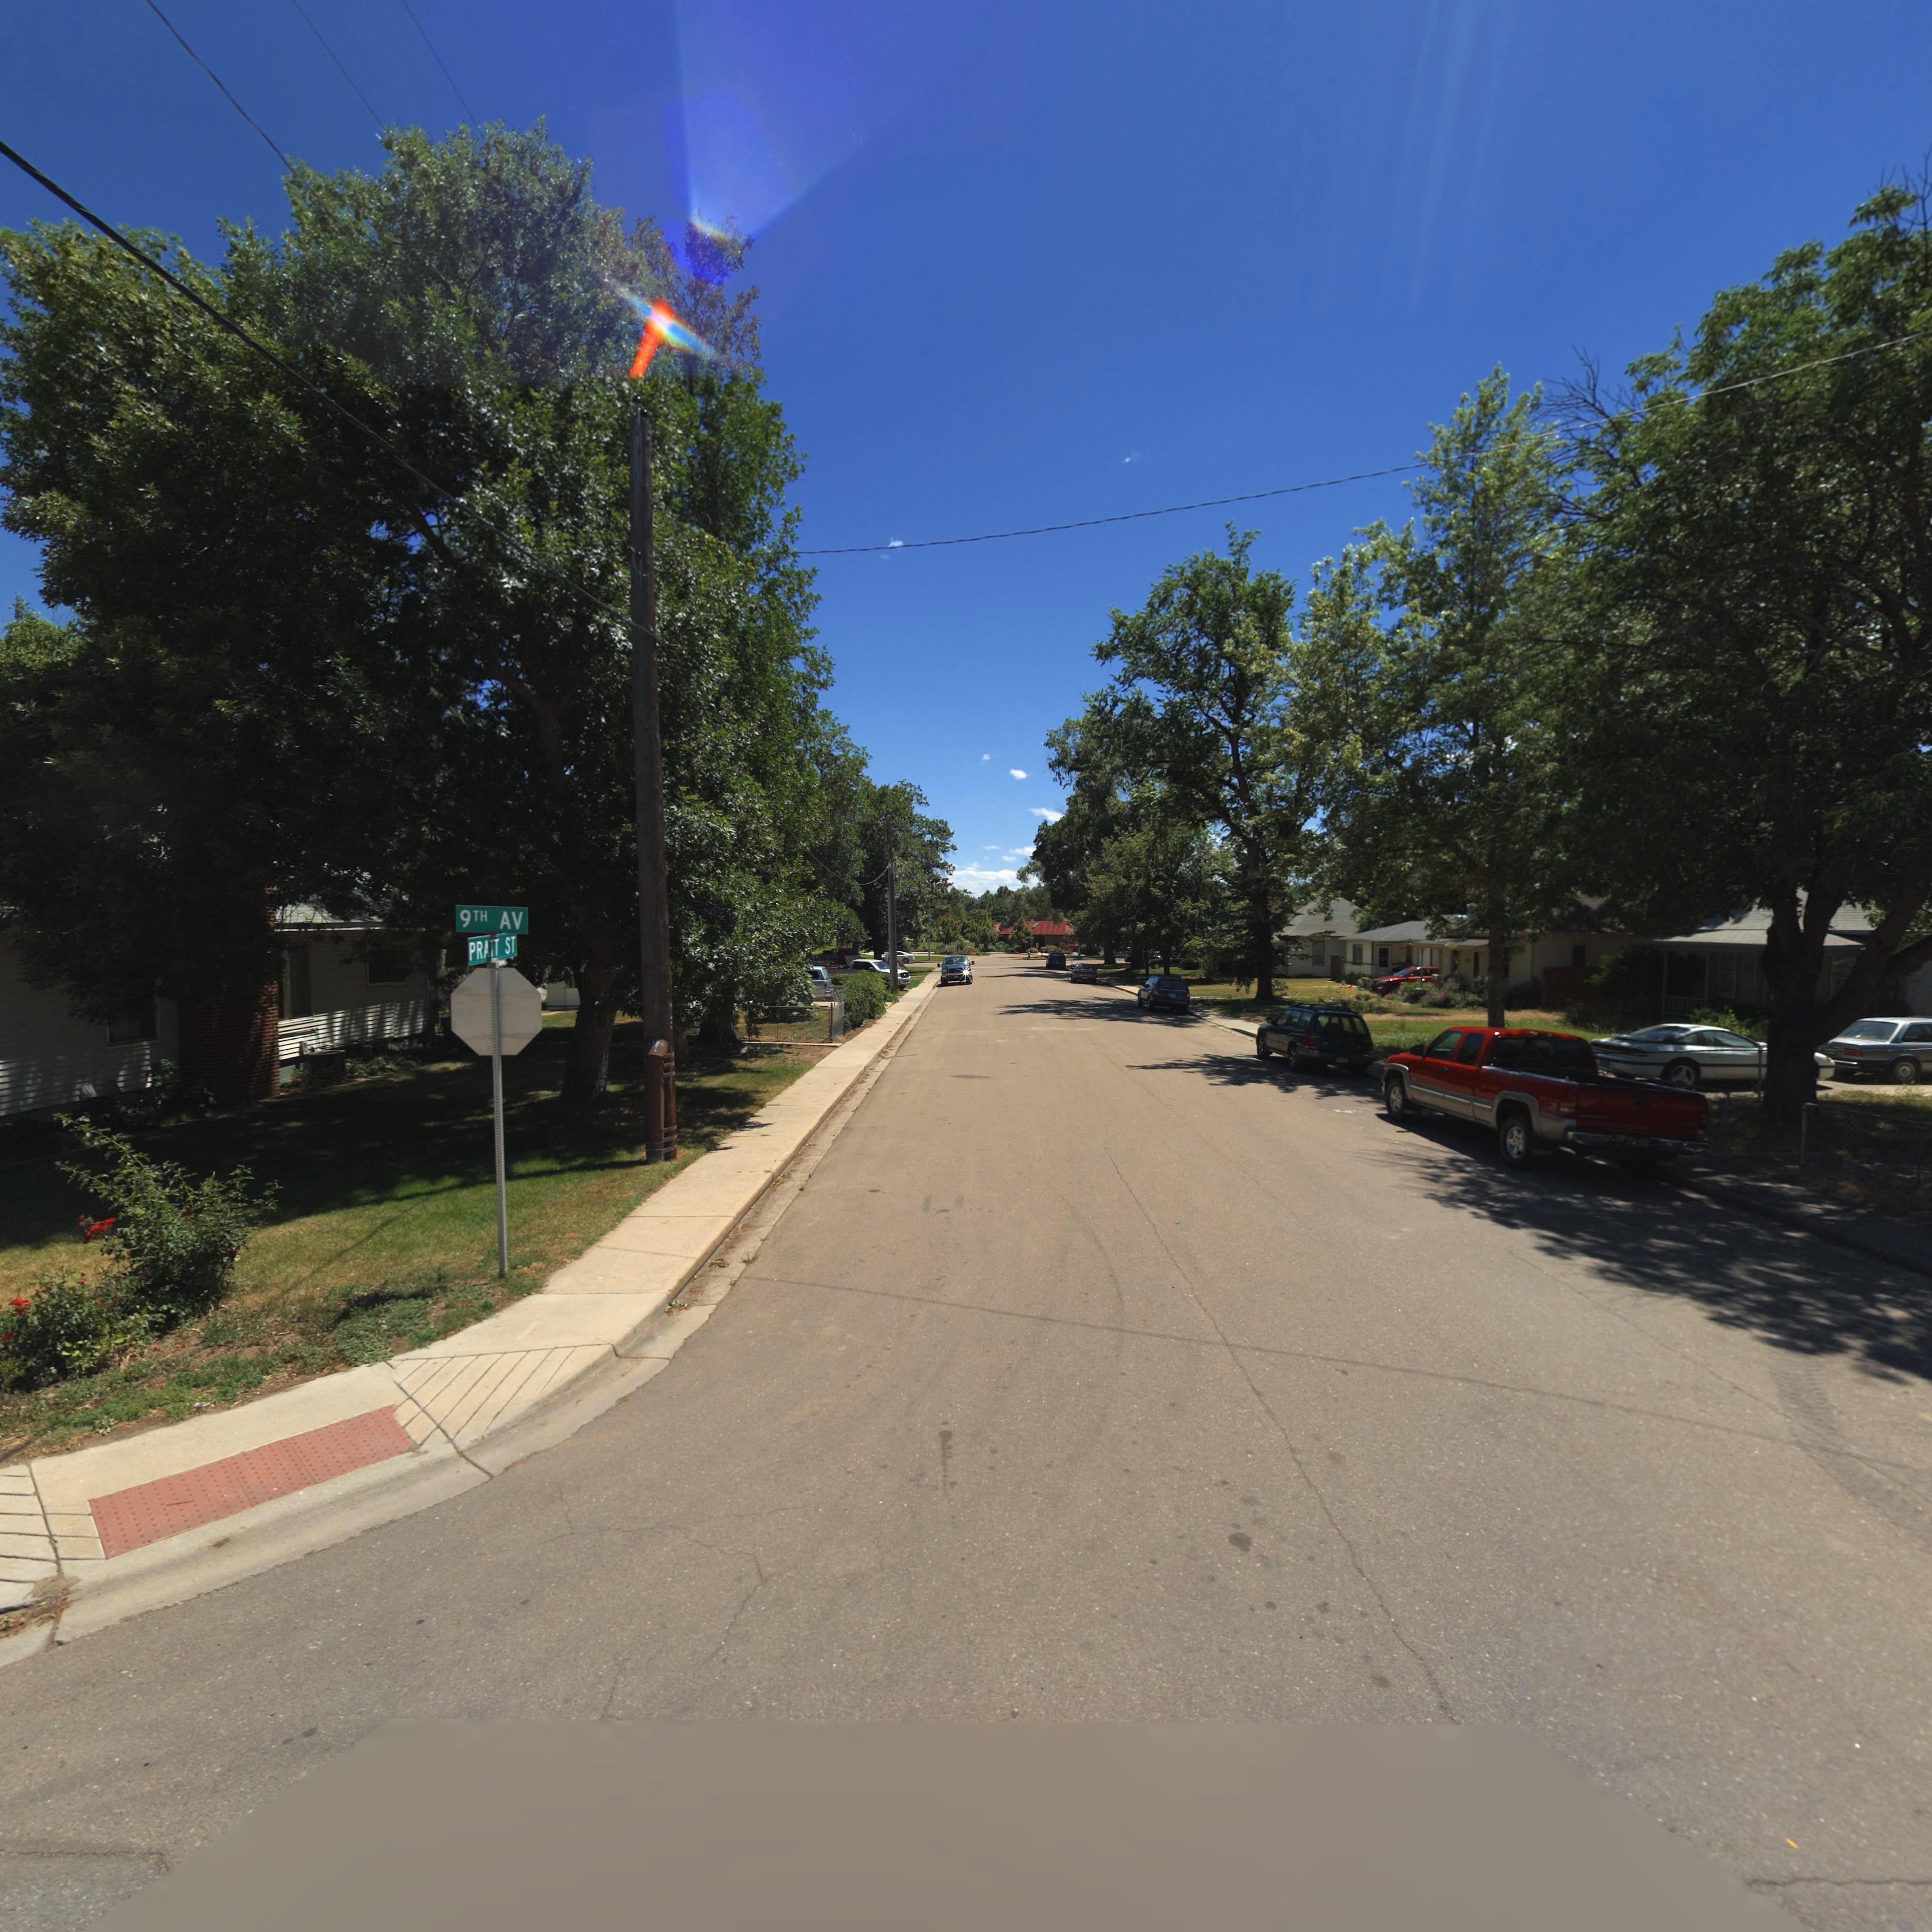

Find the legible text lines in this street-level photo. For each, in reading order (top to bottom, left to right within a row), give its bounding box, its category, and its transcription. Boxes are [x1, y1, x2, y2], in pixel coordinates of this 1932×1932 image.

[458, 909, 524, 930] StreetName: 9TH AV
[468, 934, 516, 962] StreetName: PRATT ST